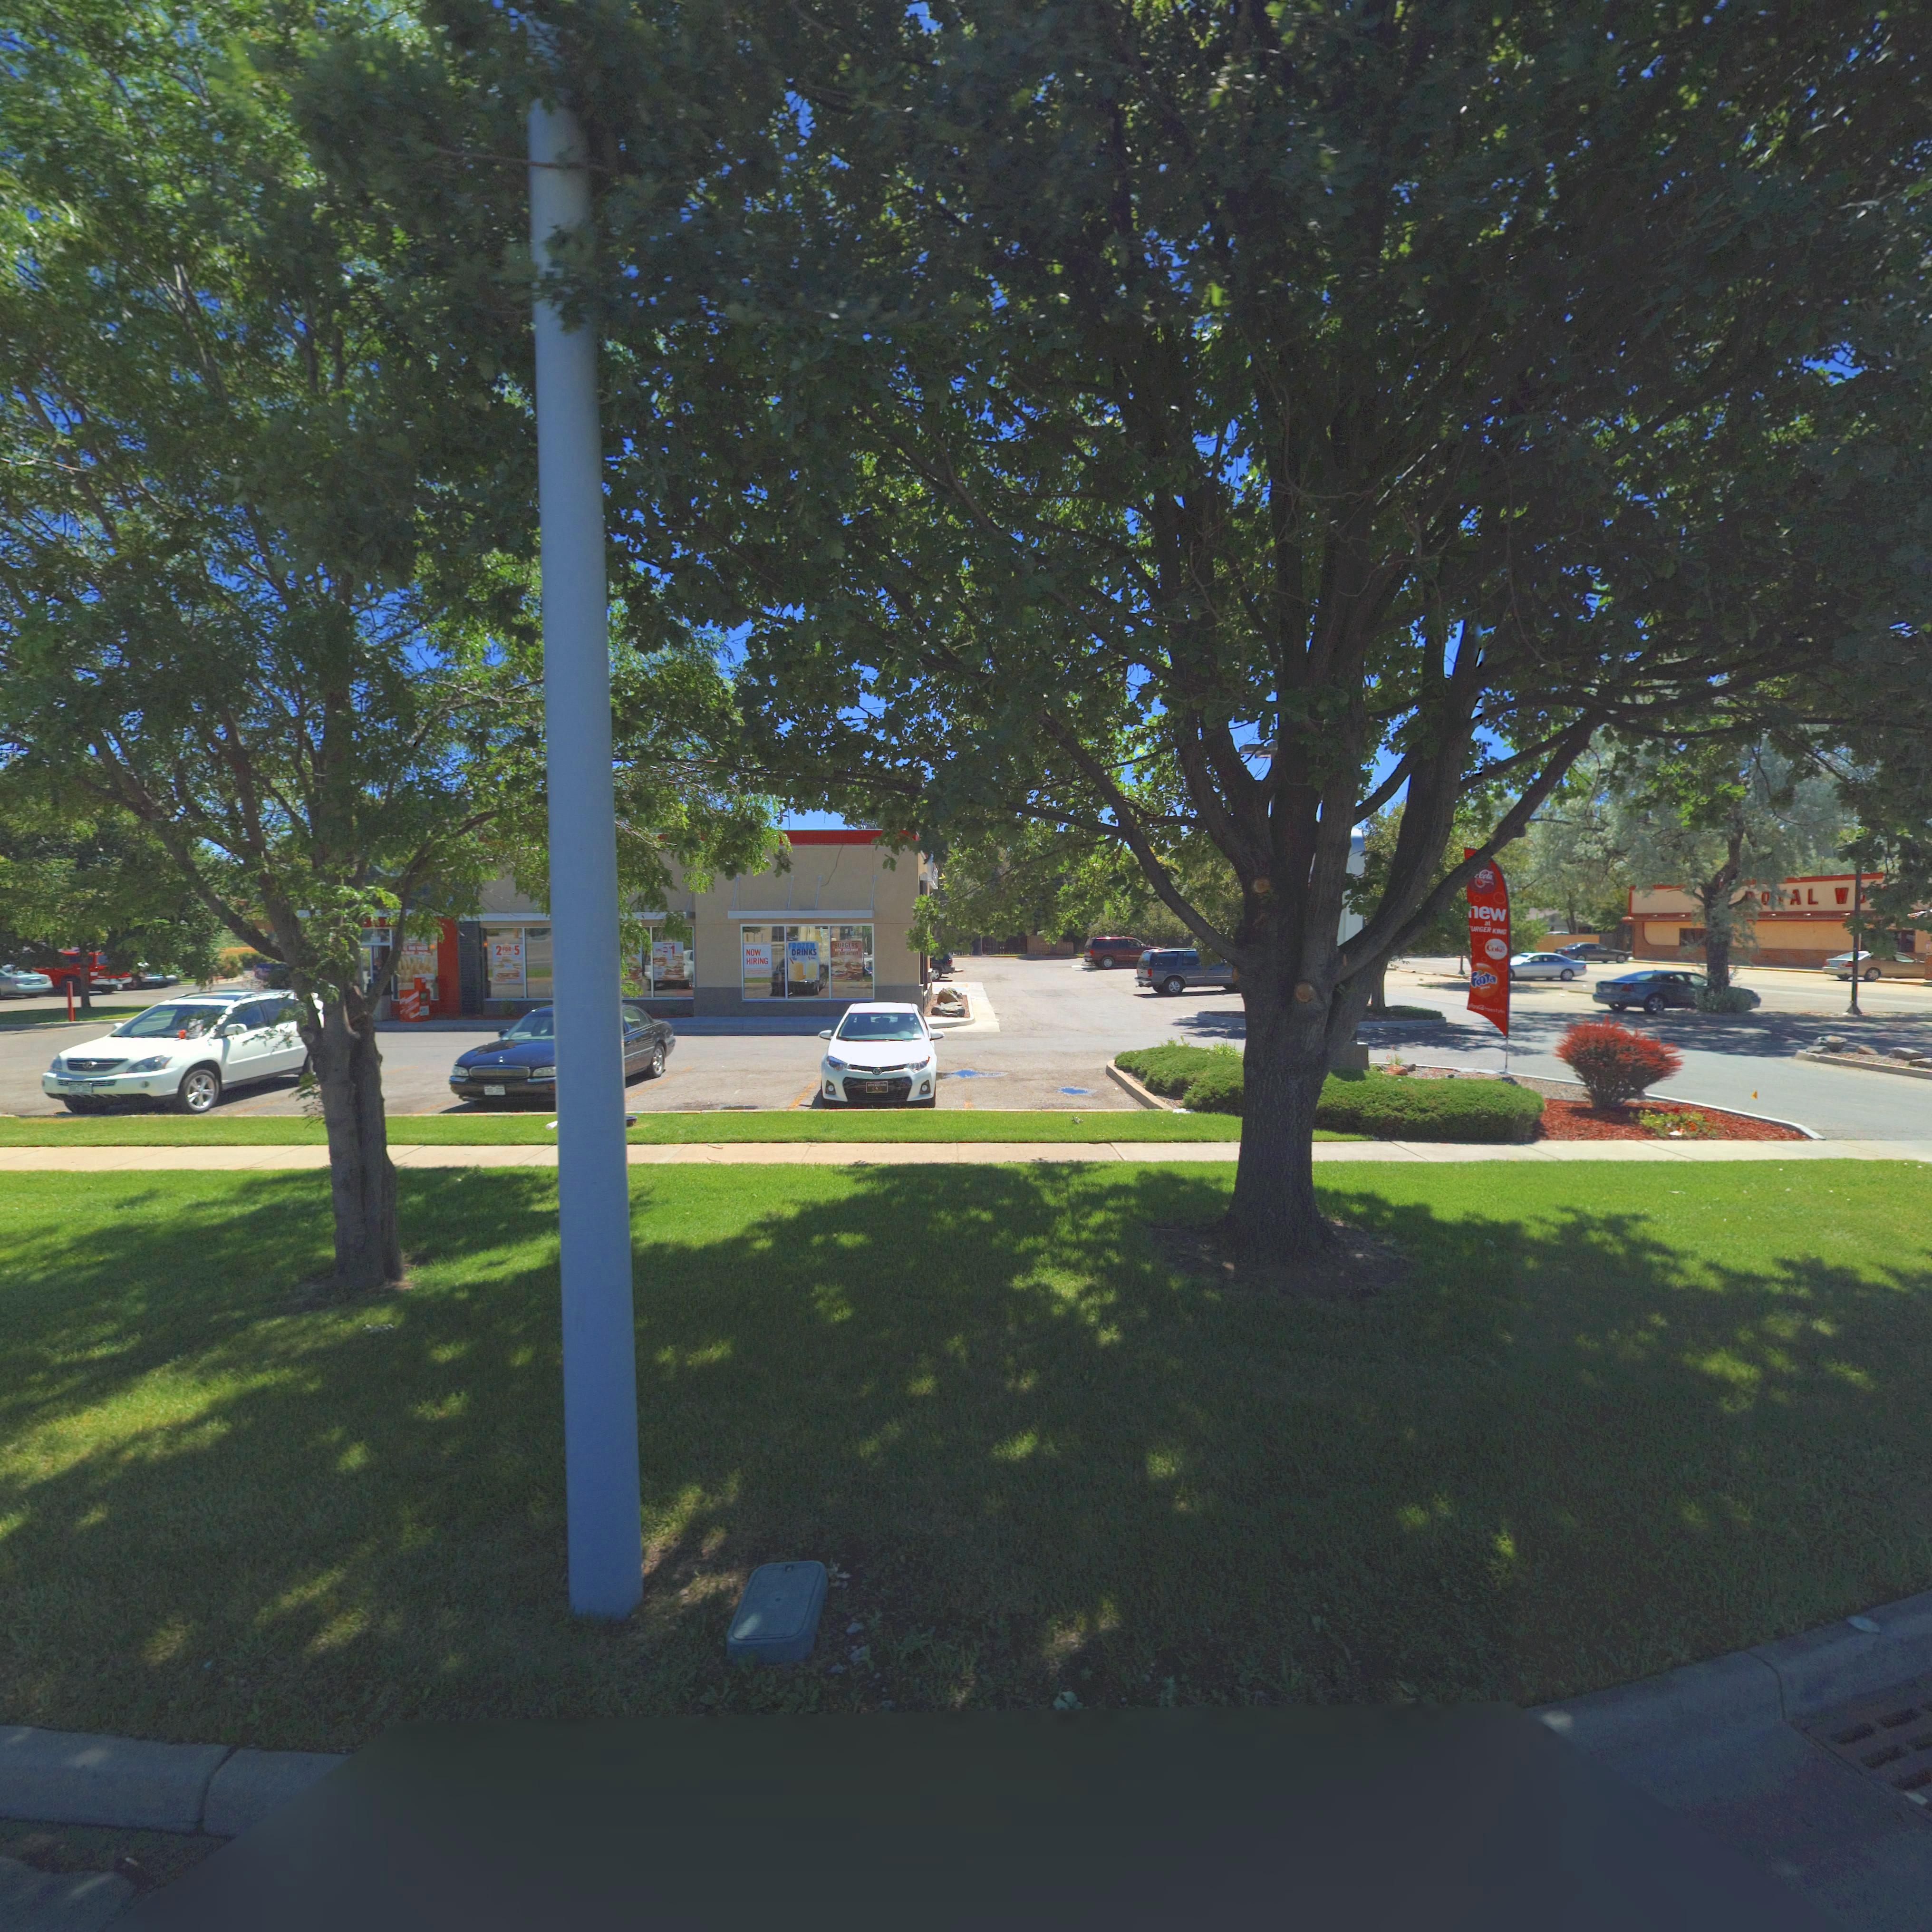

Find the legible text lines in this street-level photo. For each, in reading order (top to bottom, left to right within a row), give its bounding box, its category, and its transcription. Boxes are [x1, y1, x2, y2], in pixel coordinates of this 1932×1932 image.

[1760, 887, 1849, 906] BusinessName: O*AL W